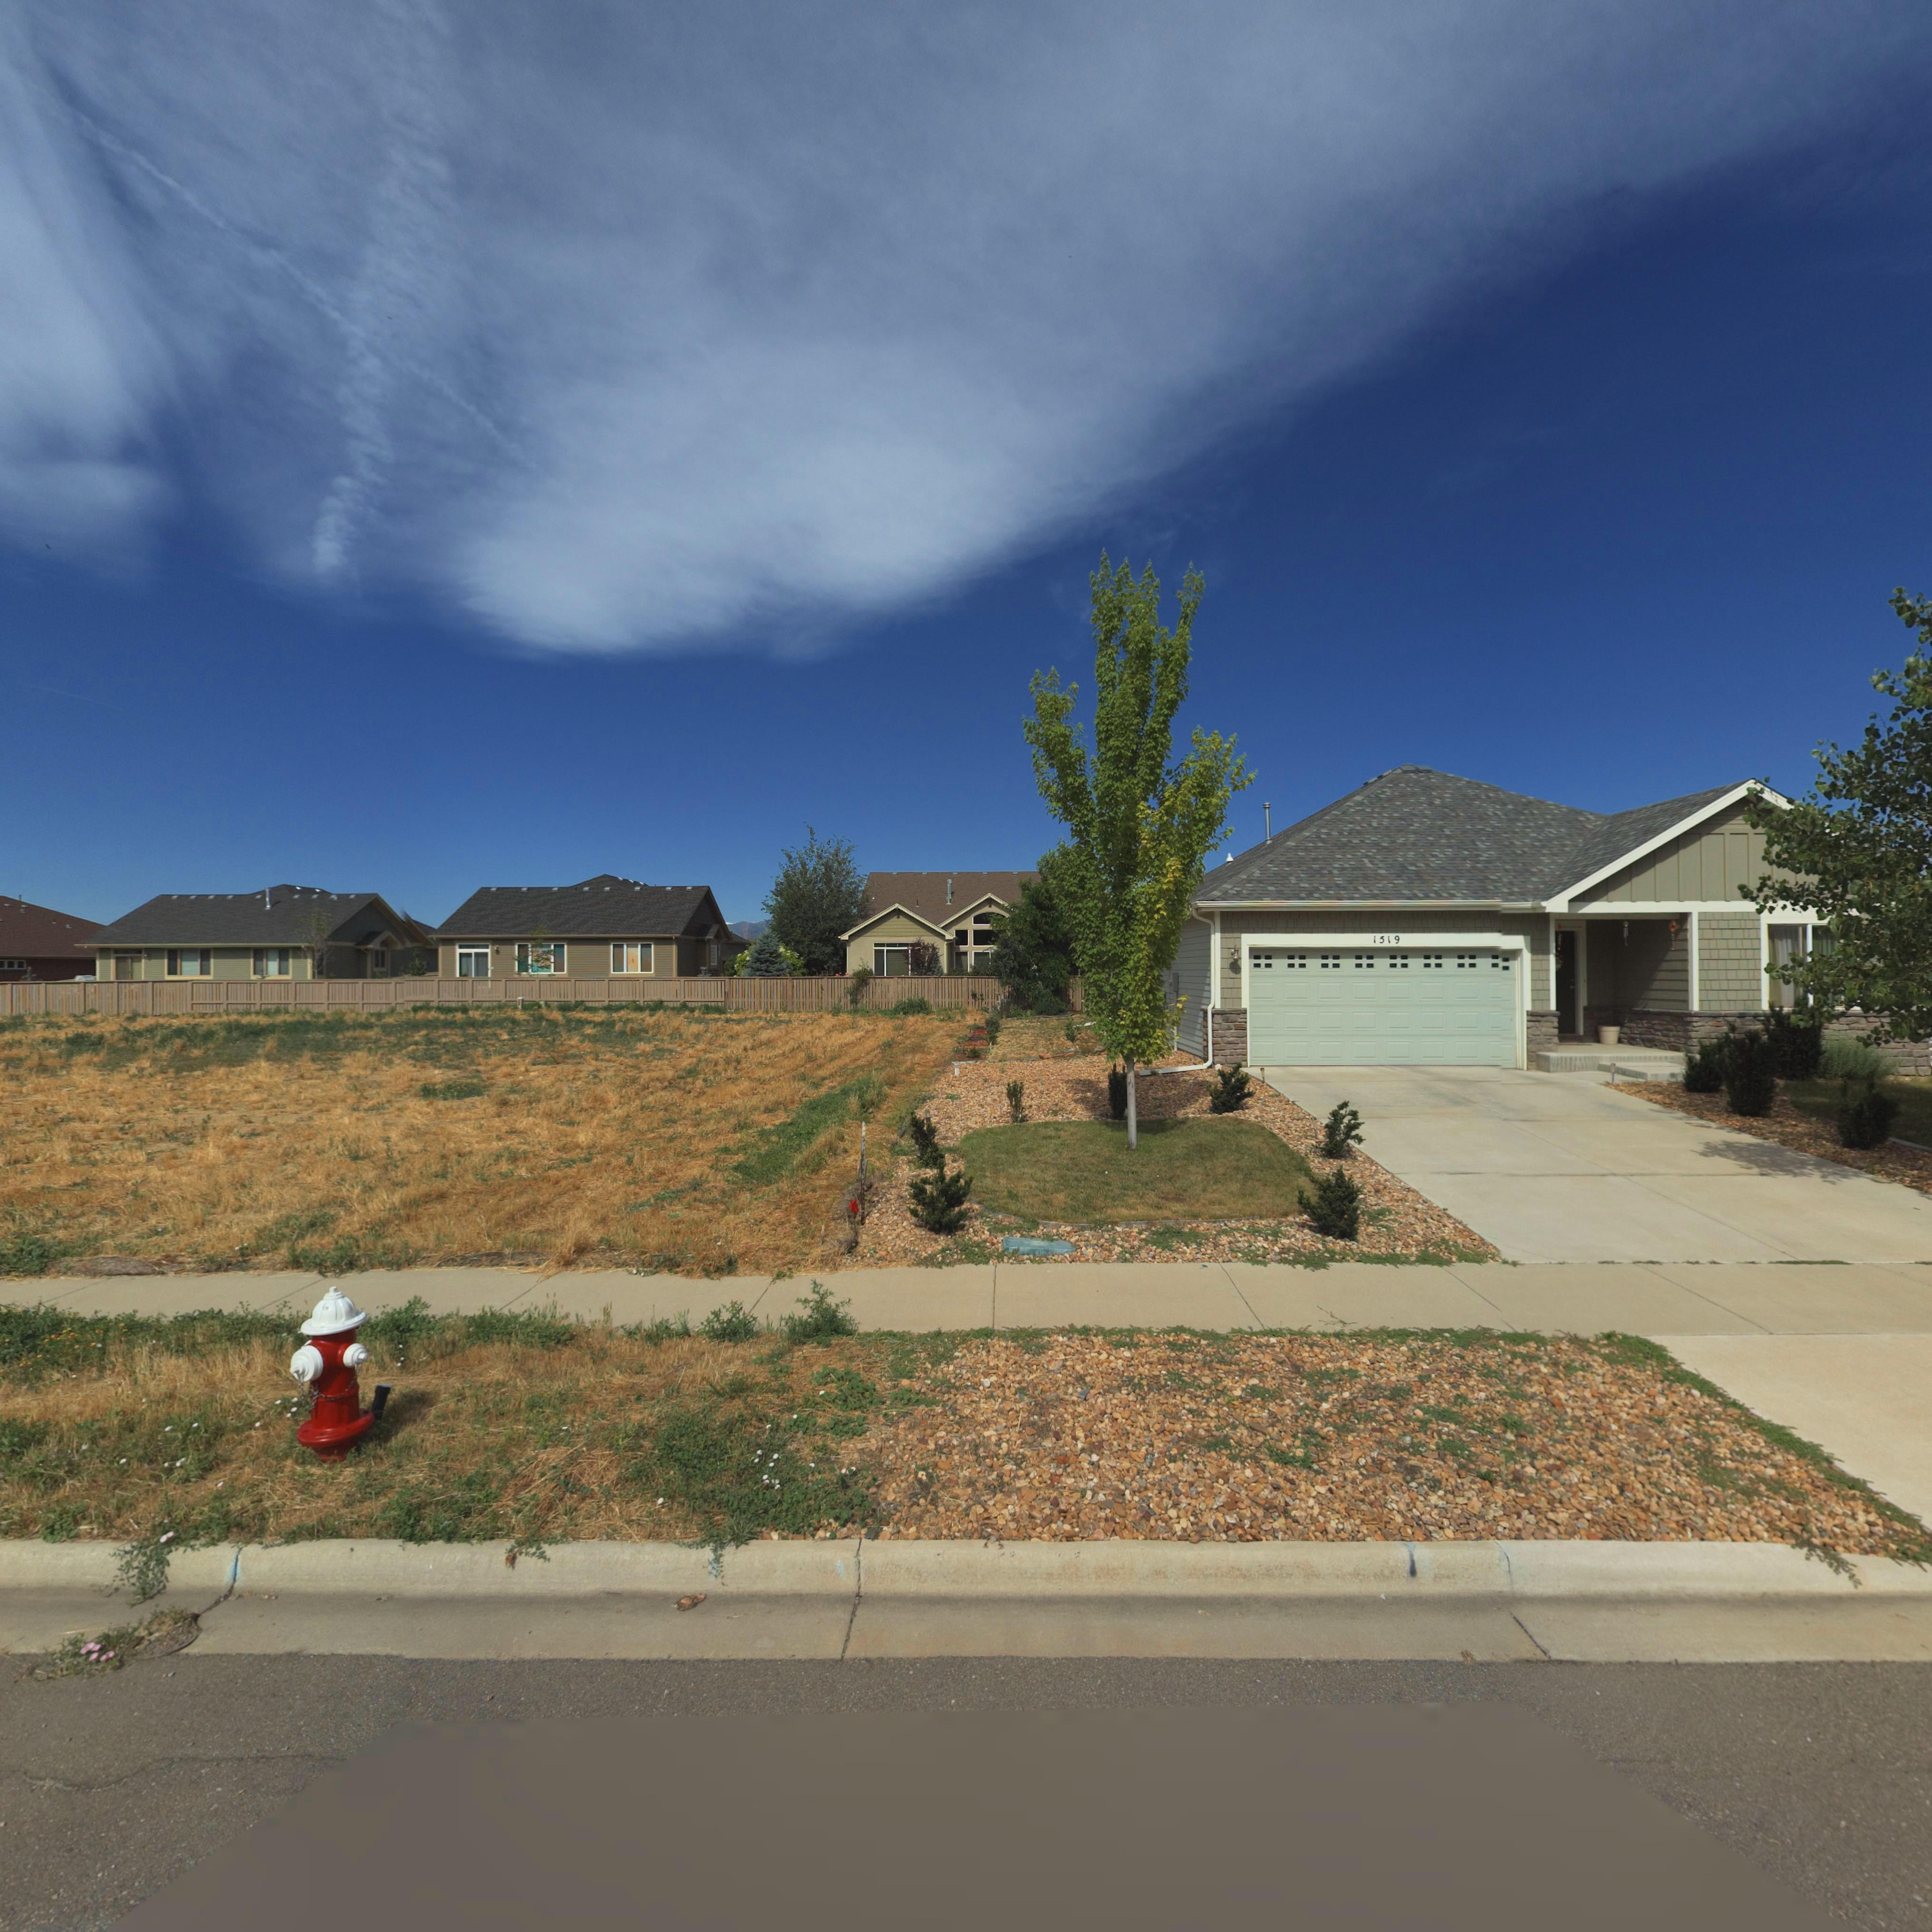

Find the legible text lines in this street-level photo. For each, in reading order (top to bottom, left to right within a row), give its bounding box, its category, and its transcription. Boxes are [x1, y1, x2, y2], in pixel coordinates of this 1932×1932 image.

[1373, 935, 1400, 944] StreetNumber: 1519